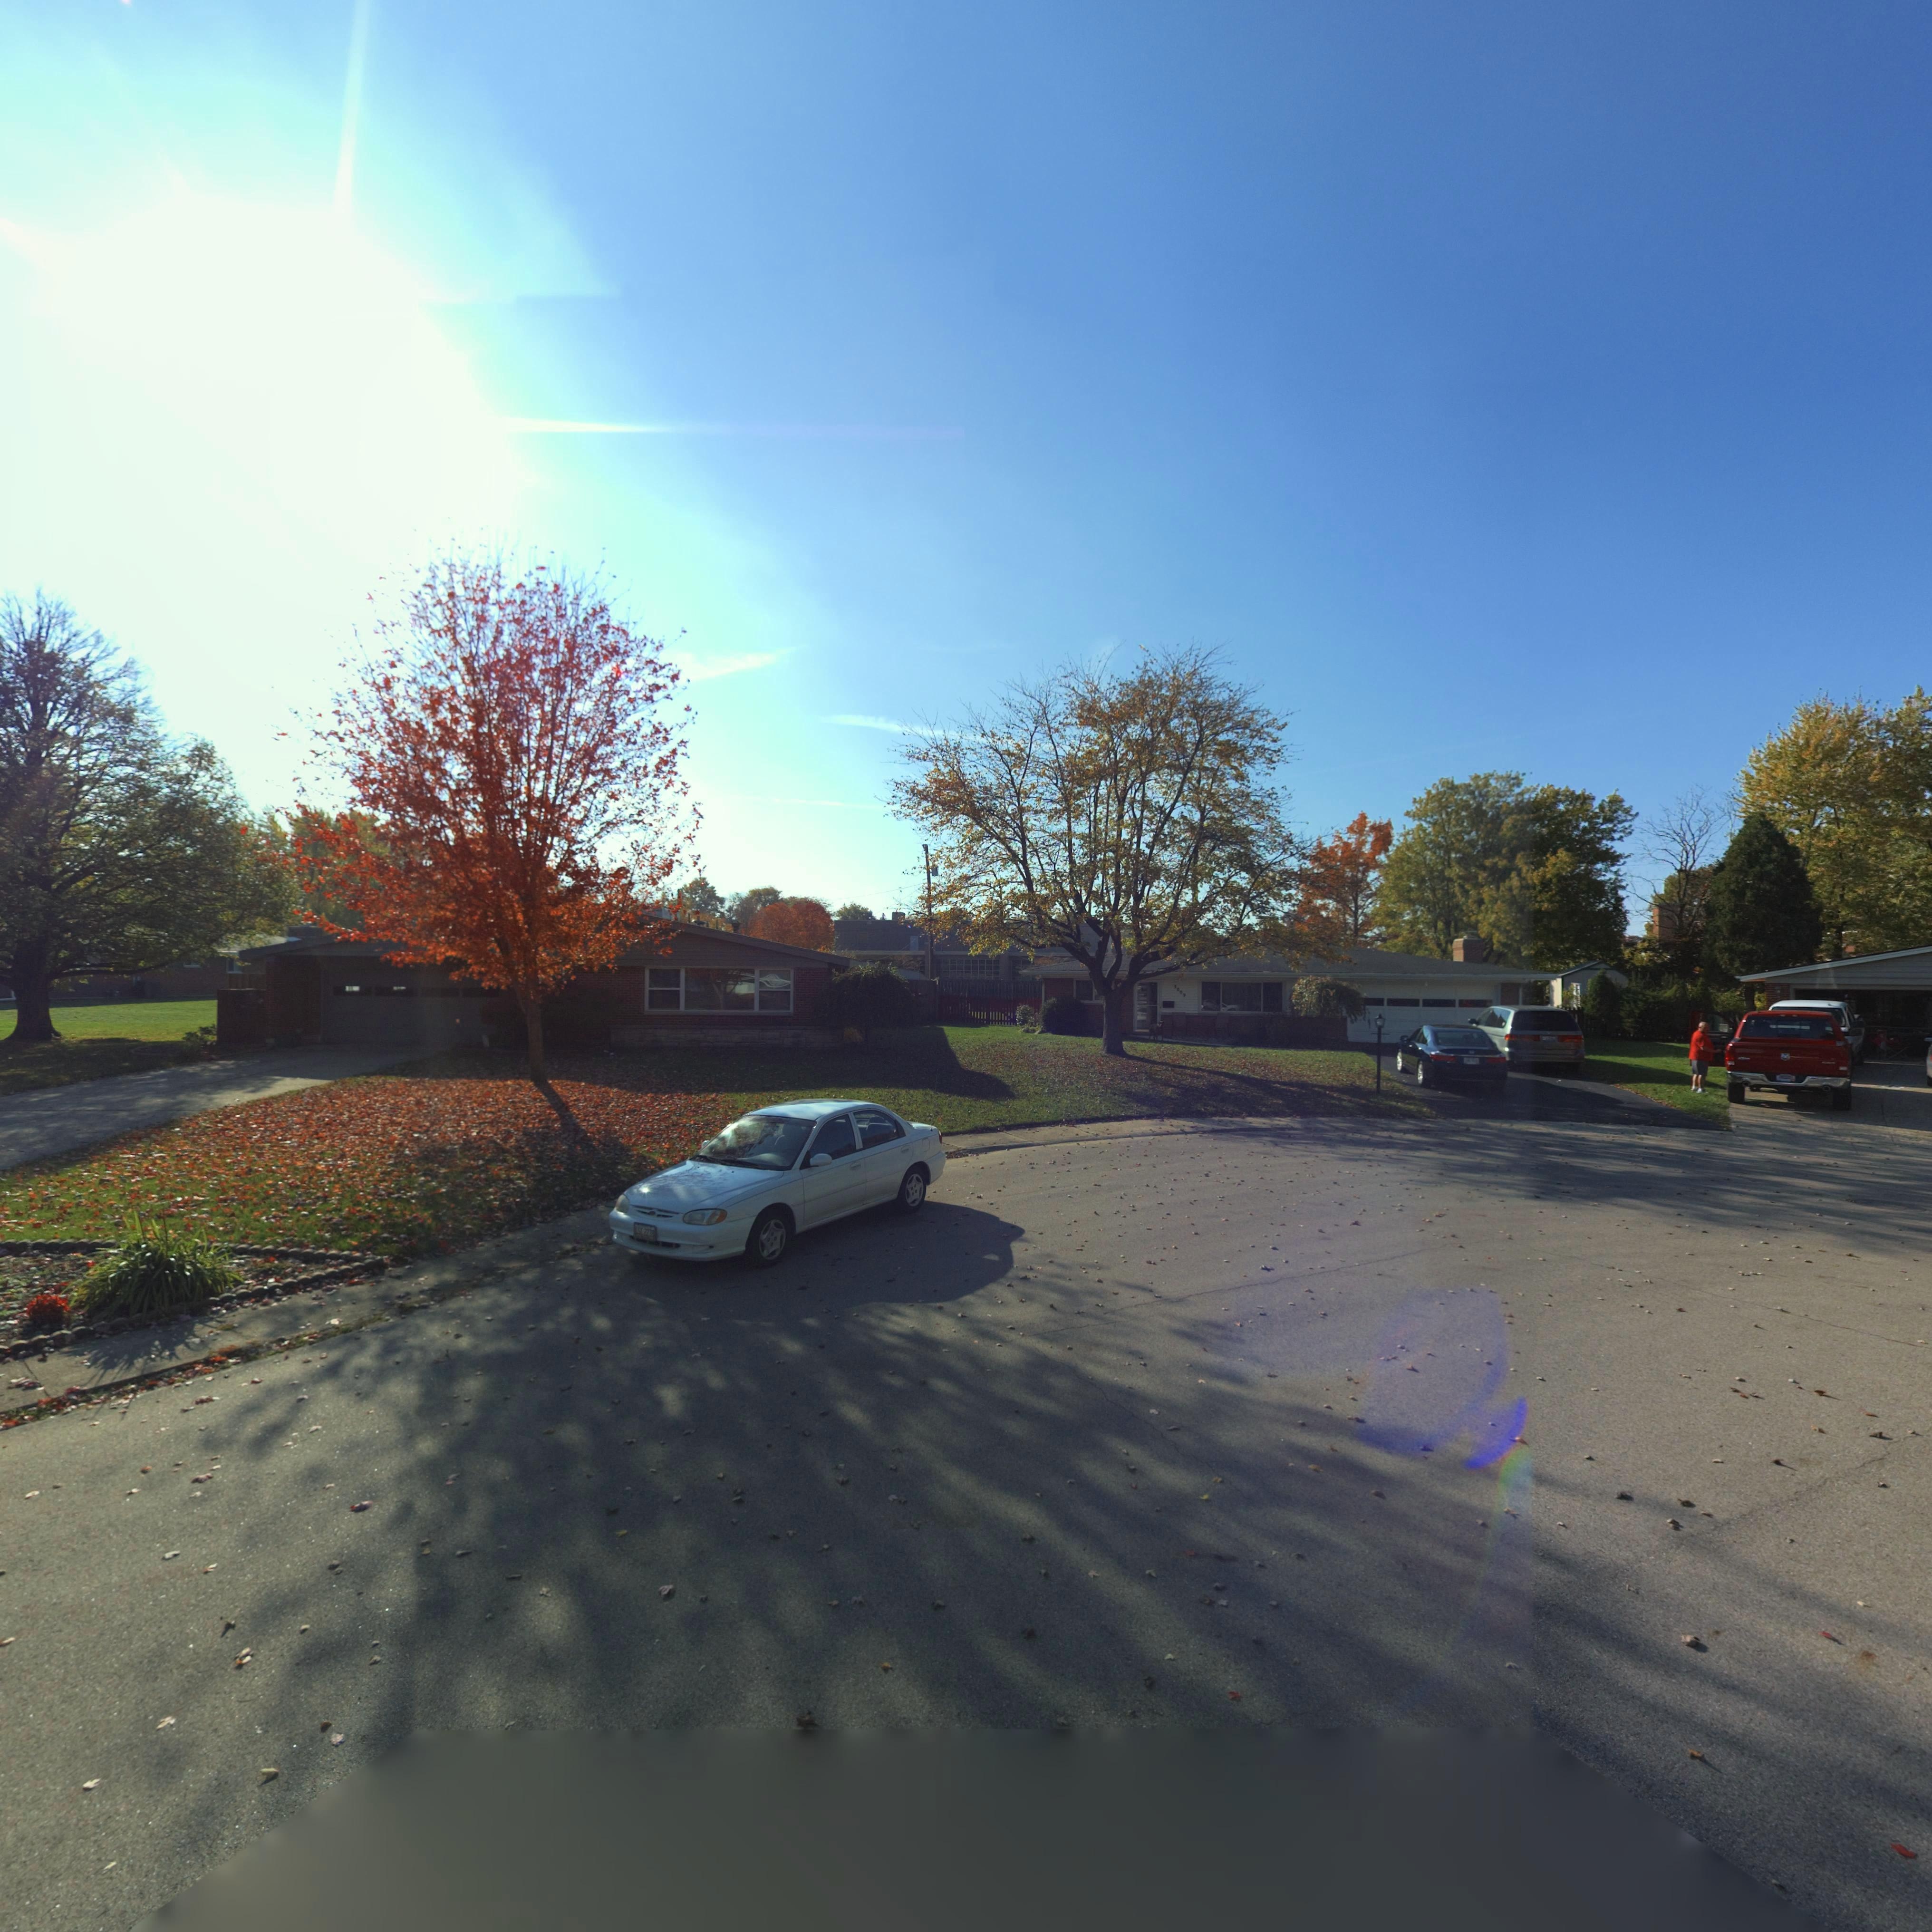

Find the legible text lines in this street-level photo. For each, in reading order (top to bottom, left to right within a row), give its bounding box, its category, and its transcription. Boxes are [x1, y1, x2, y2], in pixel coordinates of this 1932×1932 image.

[1173, 984, 1186, 998] StreetNumber: 3009